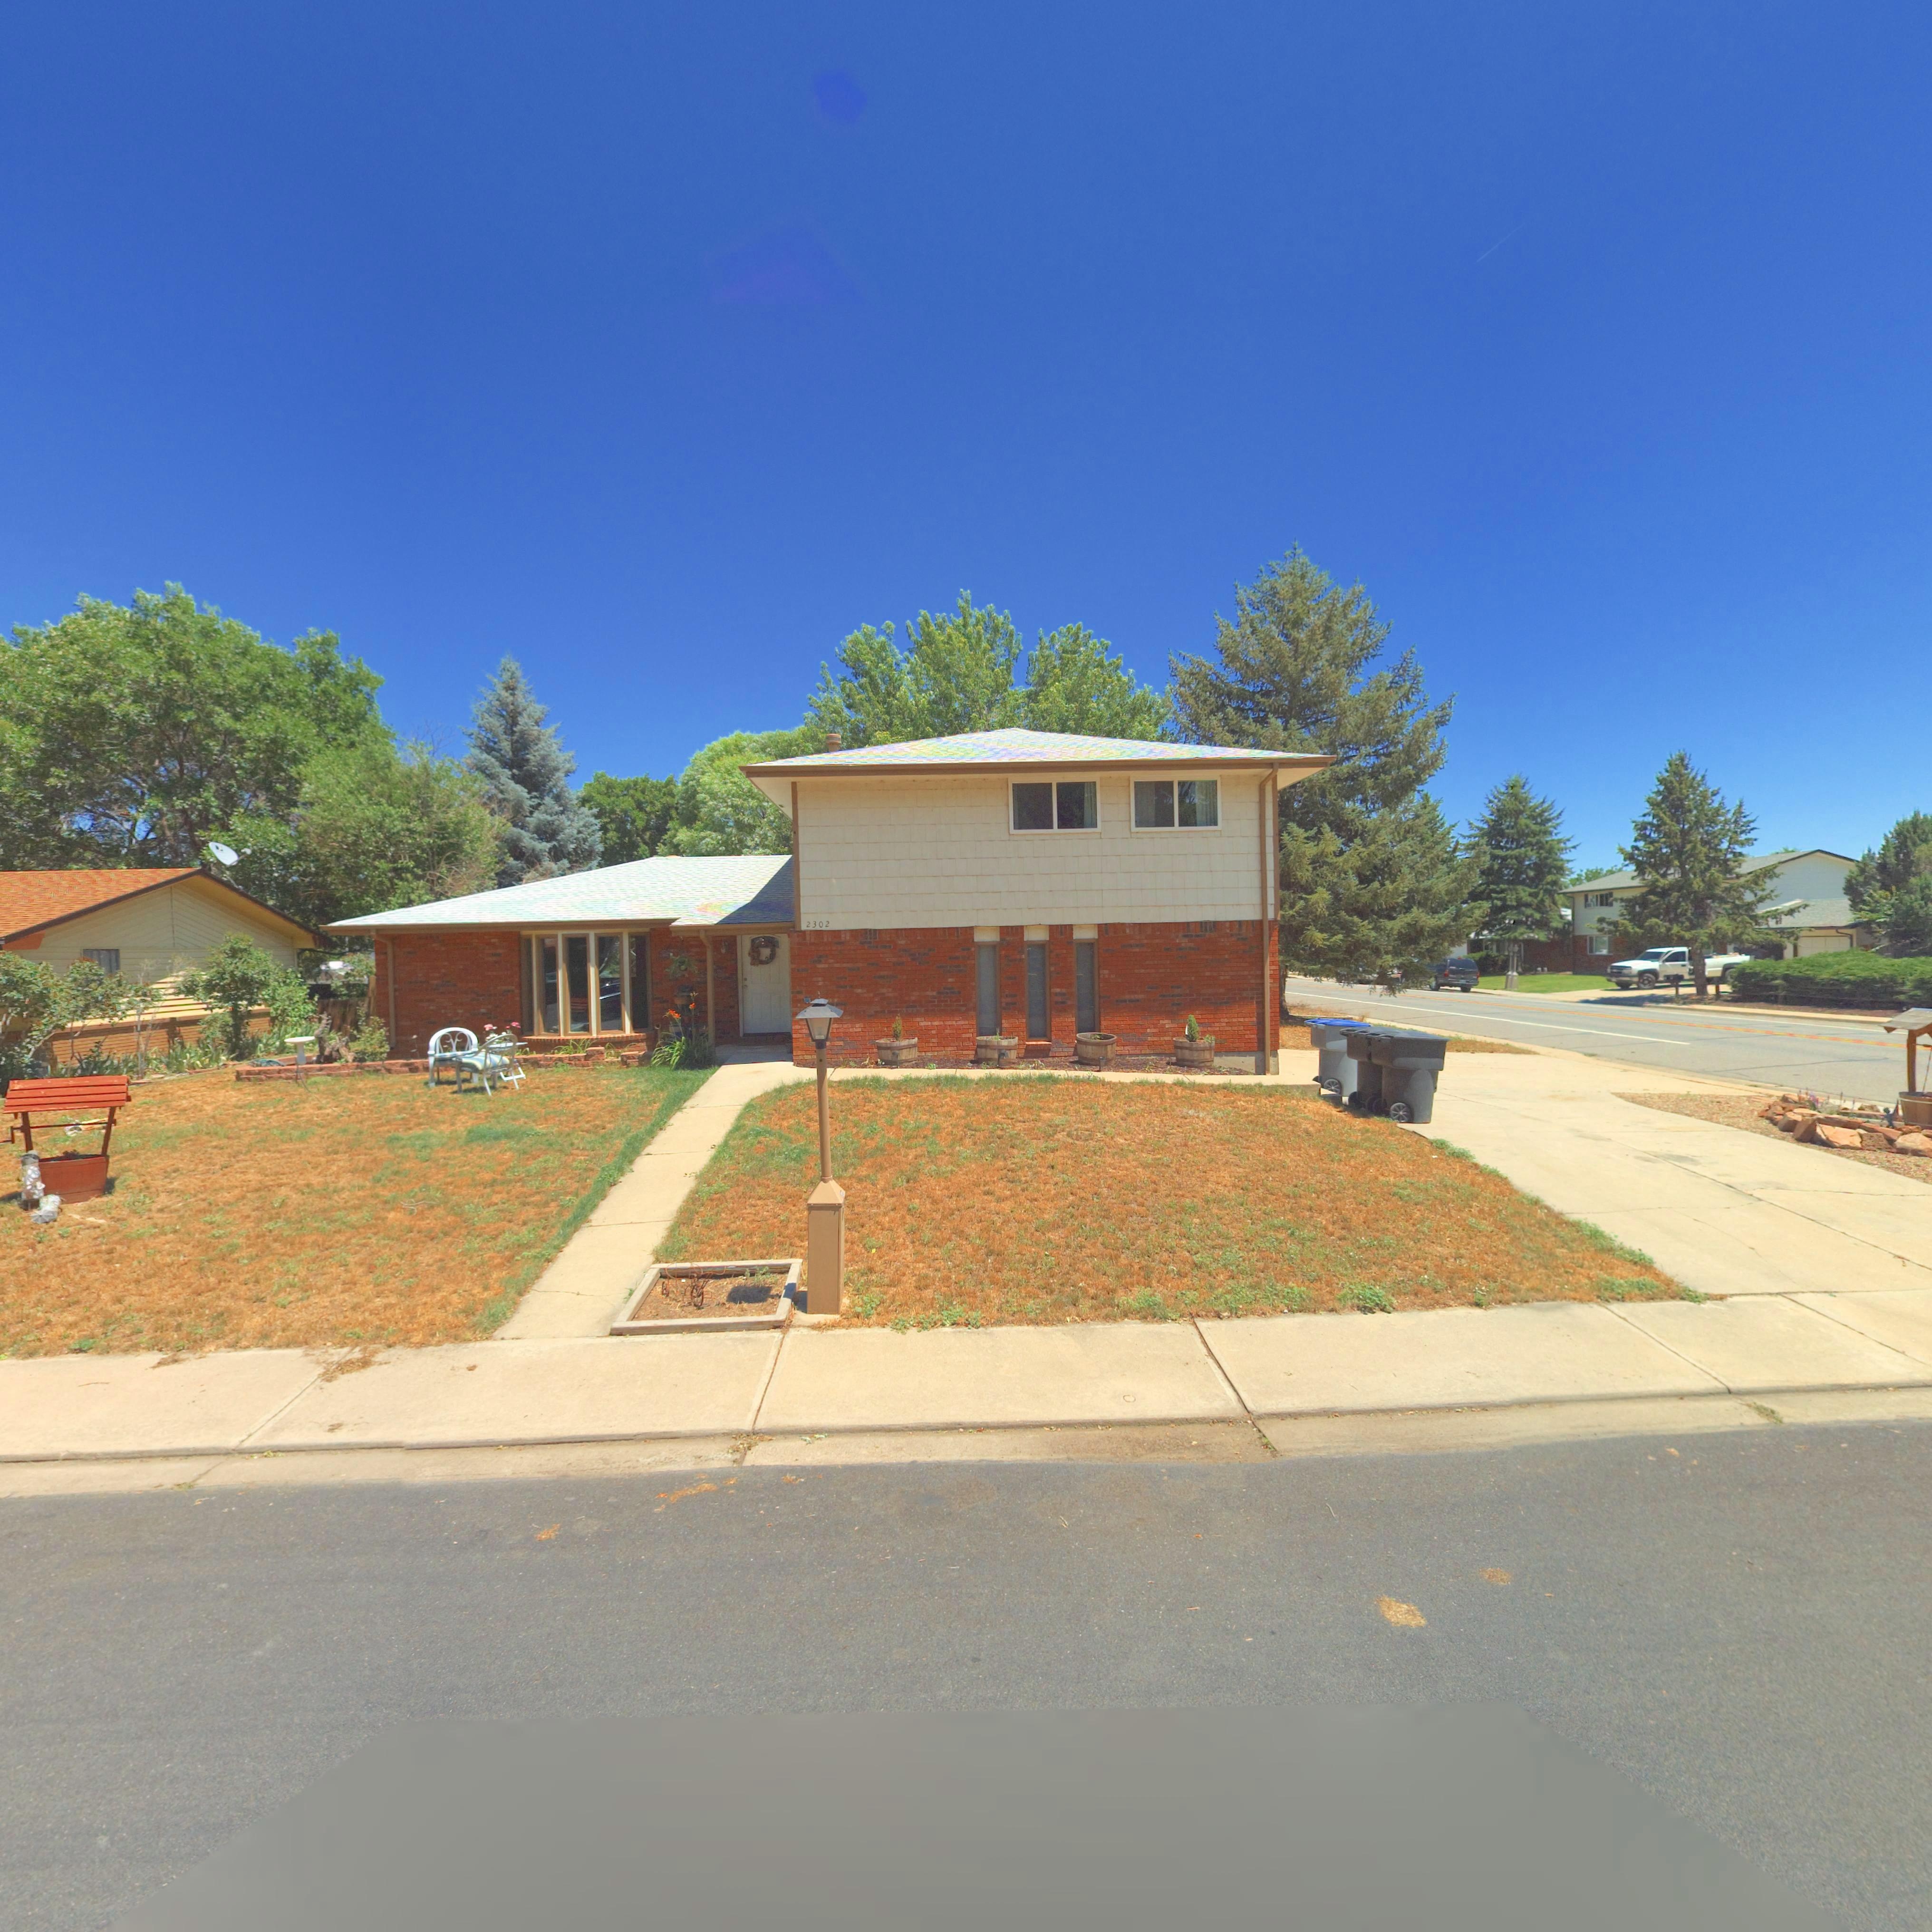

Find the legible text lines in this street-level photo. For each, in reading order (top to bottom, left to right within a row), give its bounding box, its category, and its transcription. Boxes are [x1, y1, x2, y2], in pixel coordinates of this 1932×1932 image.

[806, 920, 830, 927] StreetNumber: 2302